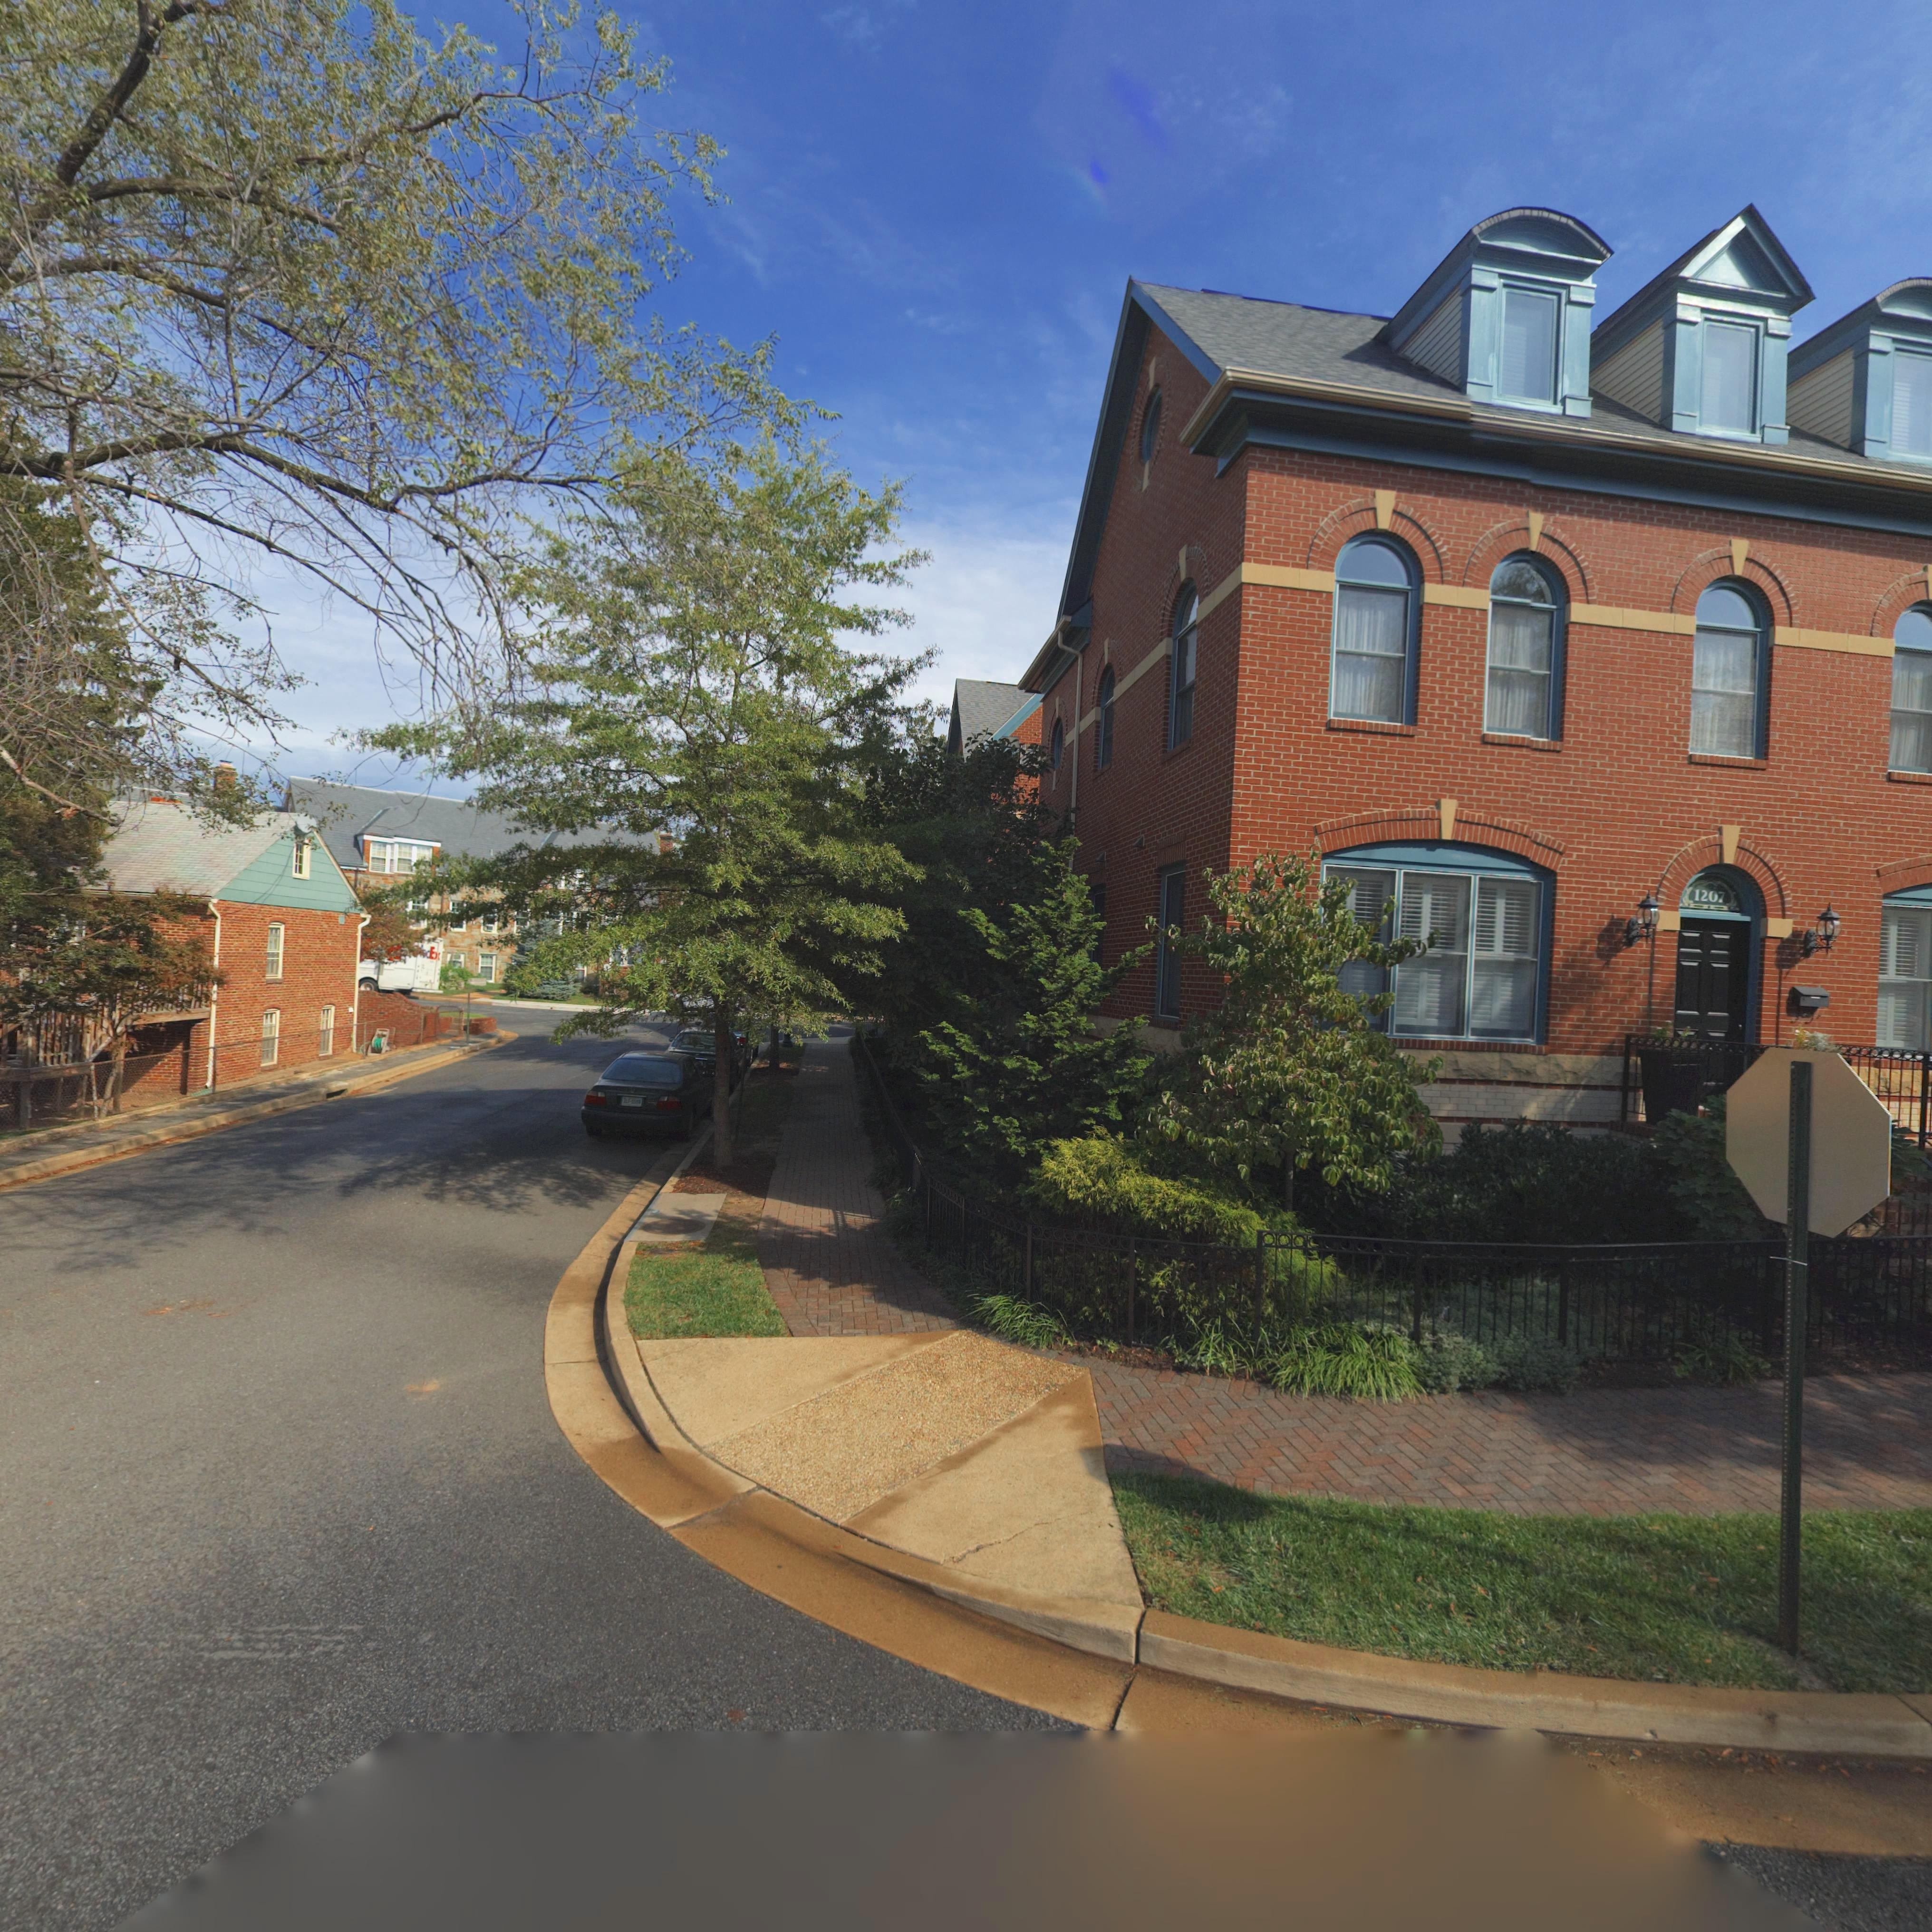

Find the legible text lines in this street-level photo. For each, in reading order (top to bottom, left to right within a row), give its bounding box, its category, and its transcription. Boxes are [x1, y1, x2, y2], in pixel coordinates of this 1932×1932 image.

[1692, 888, 1728, 905] StreetNumber: 1207
[429, 945, 436, 960] None: E